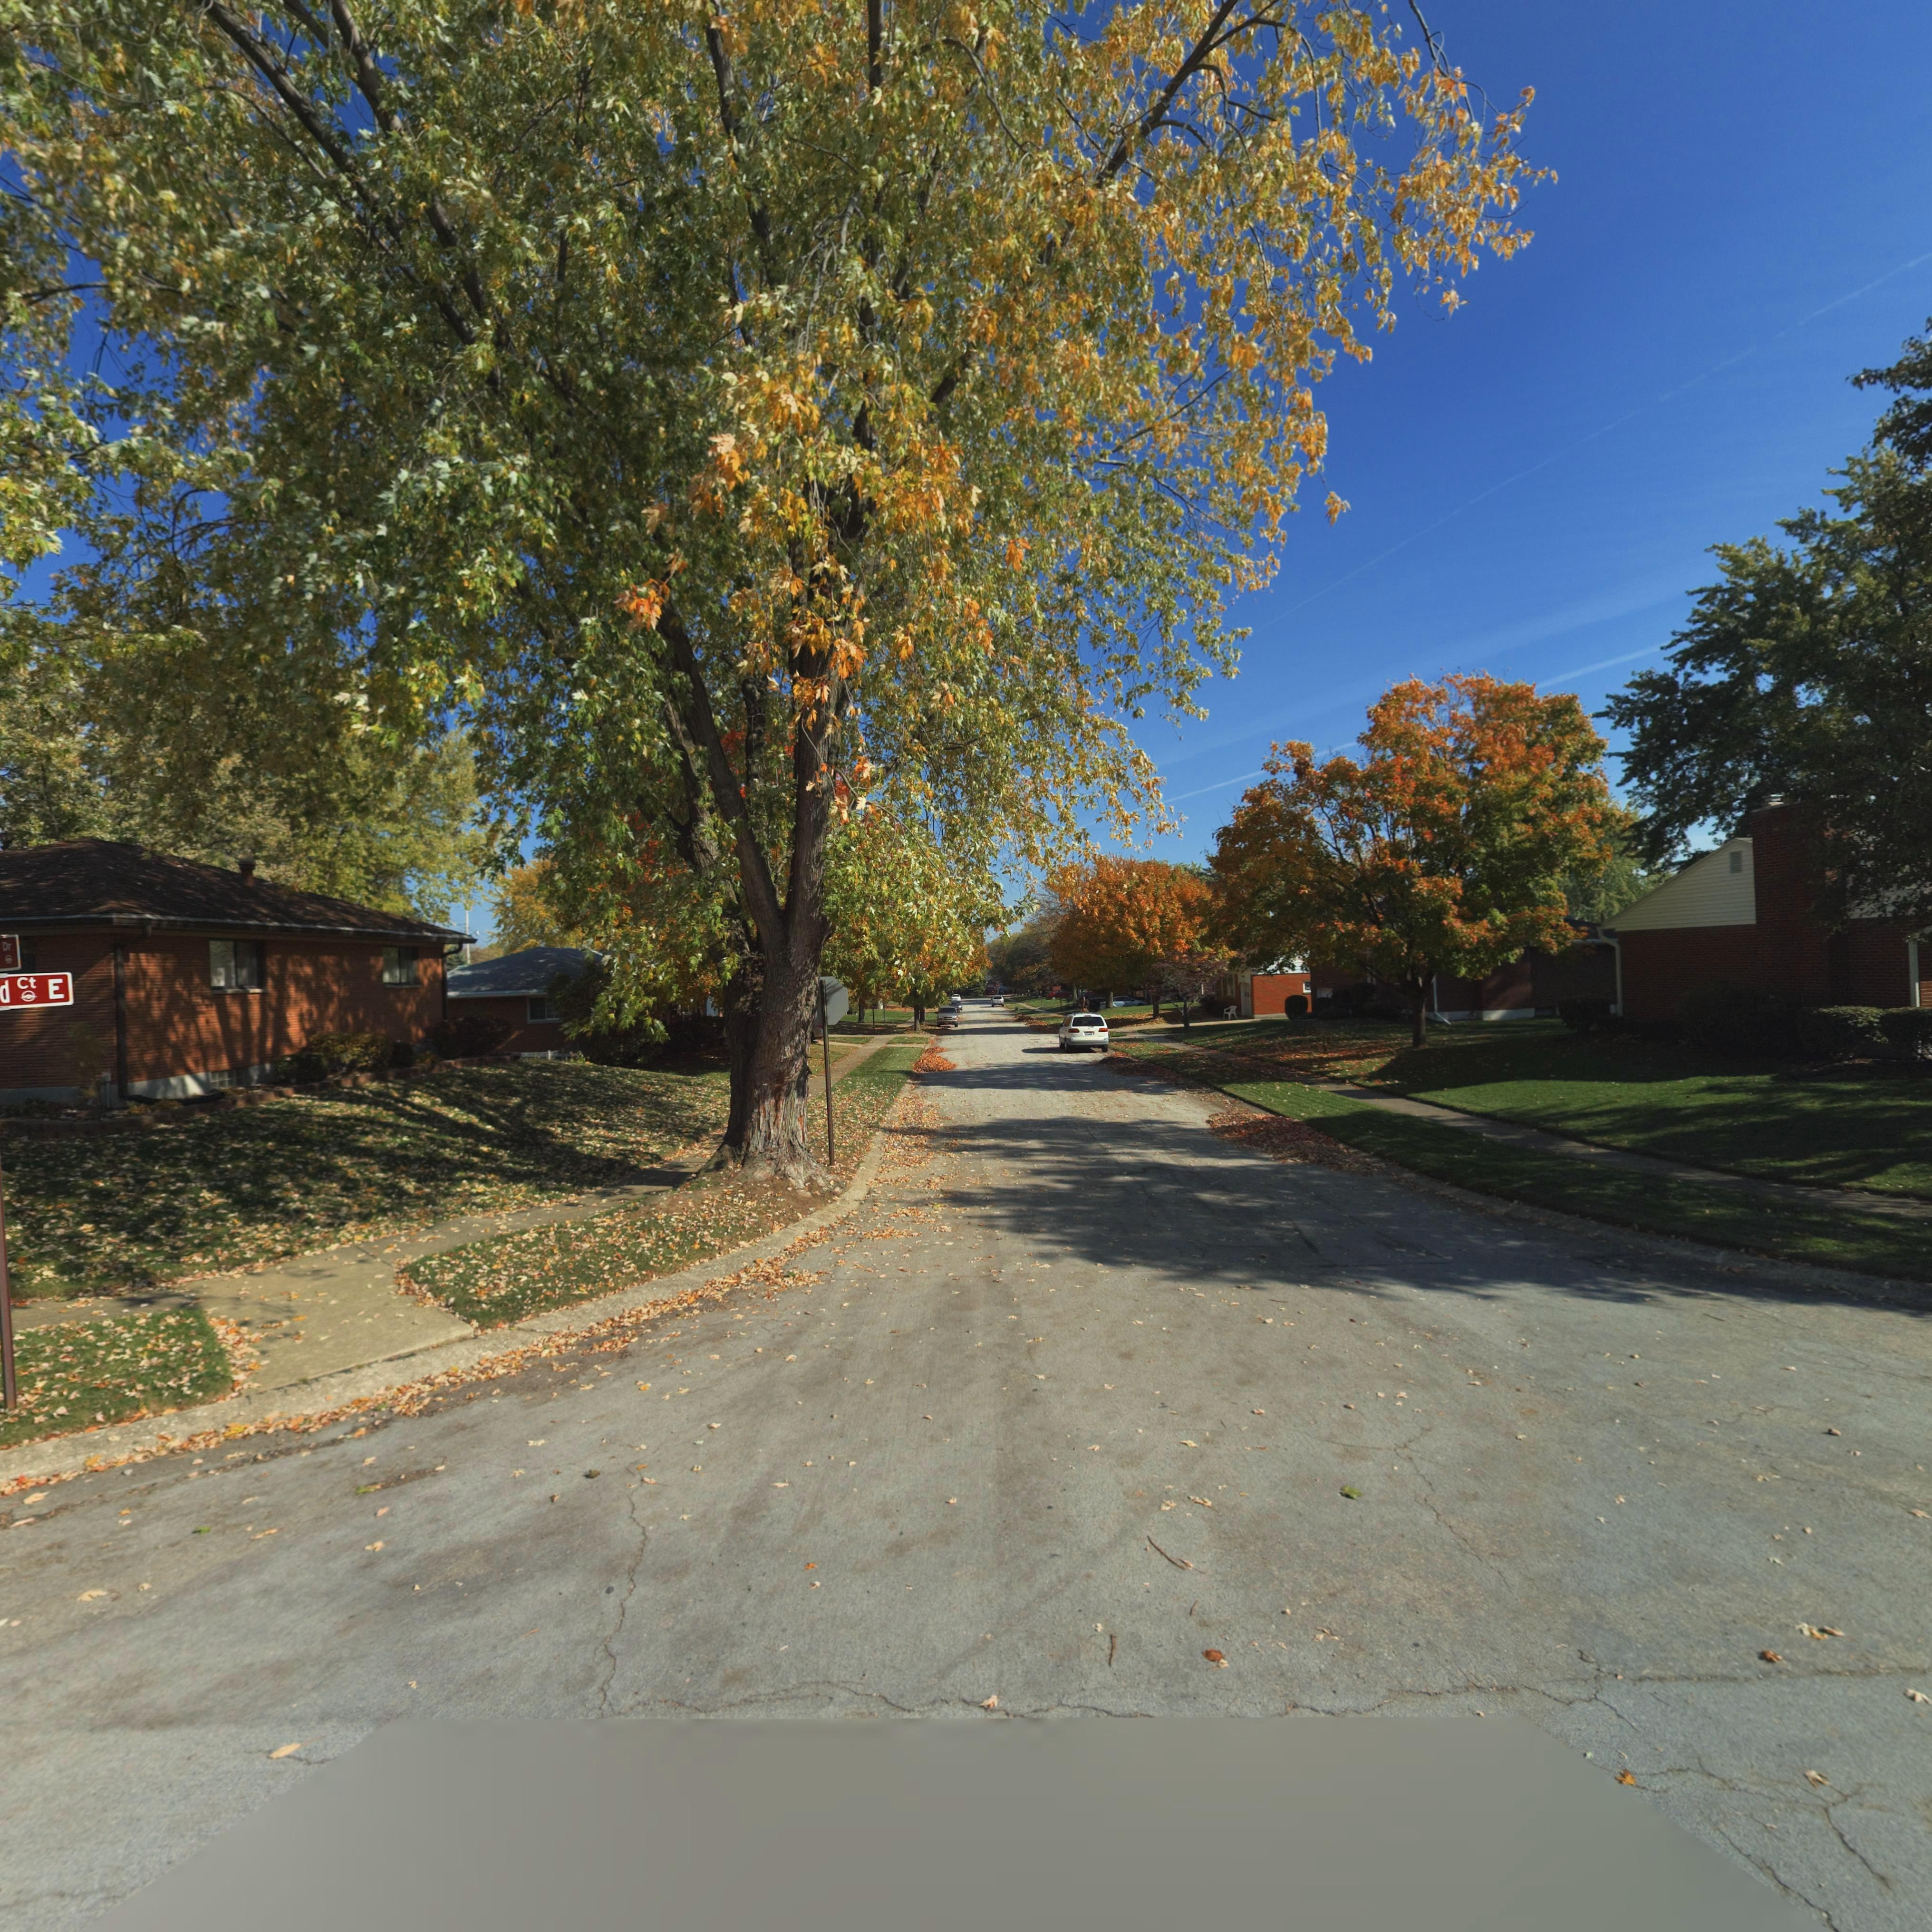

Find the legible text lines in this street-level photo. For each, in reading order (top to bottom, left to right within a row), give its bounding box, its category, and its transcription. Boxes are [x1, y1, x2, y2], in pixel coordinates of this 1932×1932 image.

[1, 941, 13, 952] StreetName: Dr
[0, 976, 65, 1005] StreetName: d Ct E